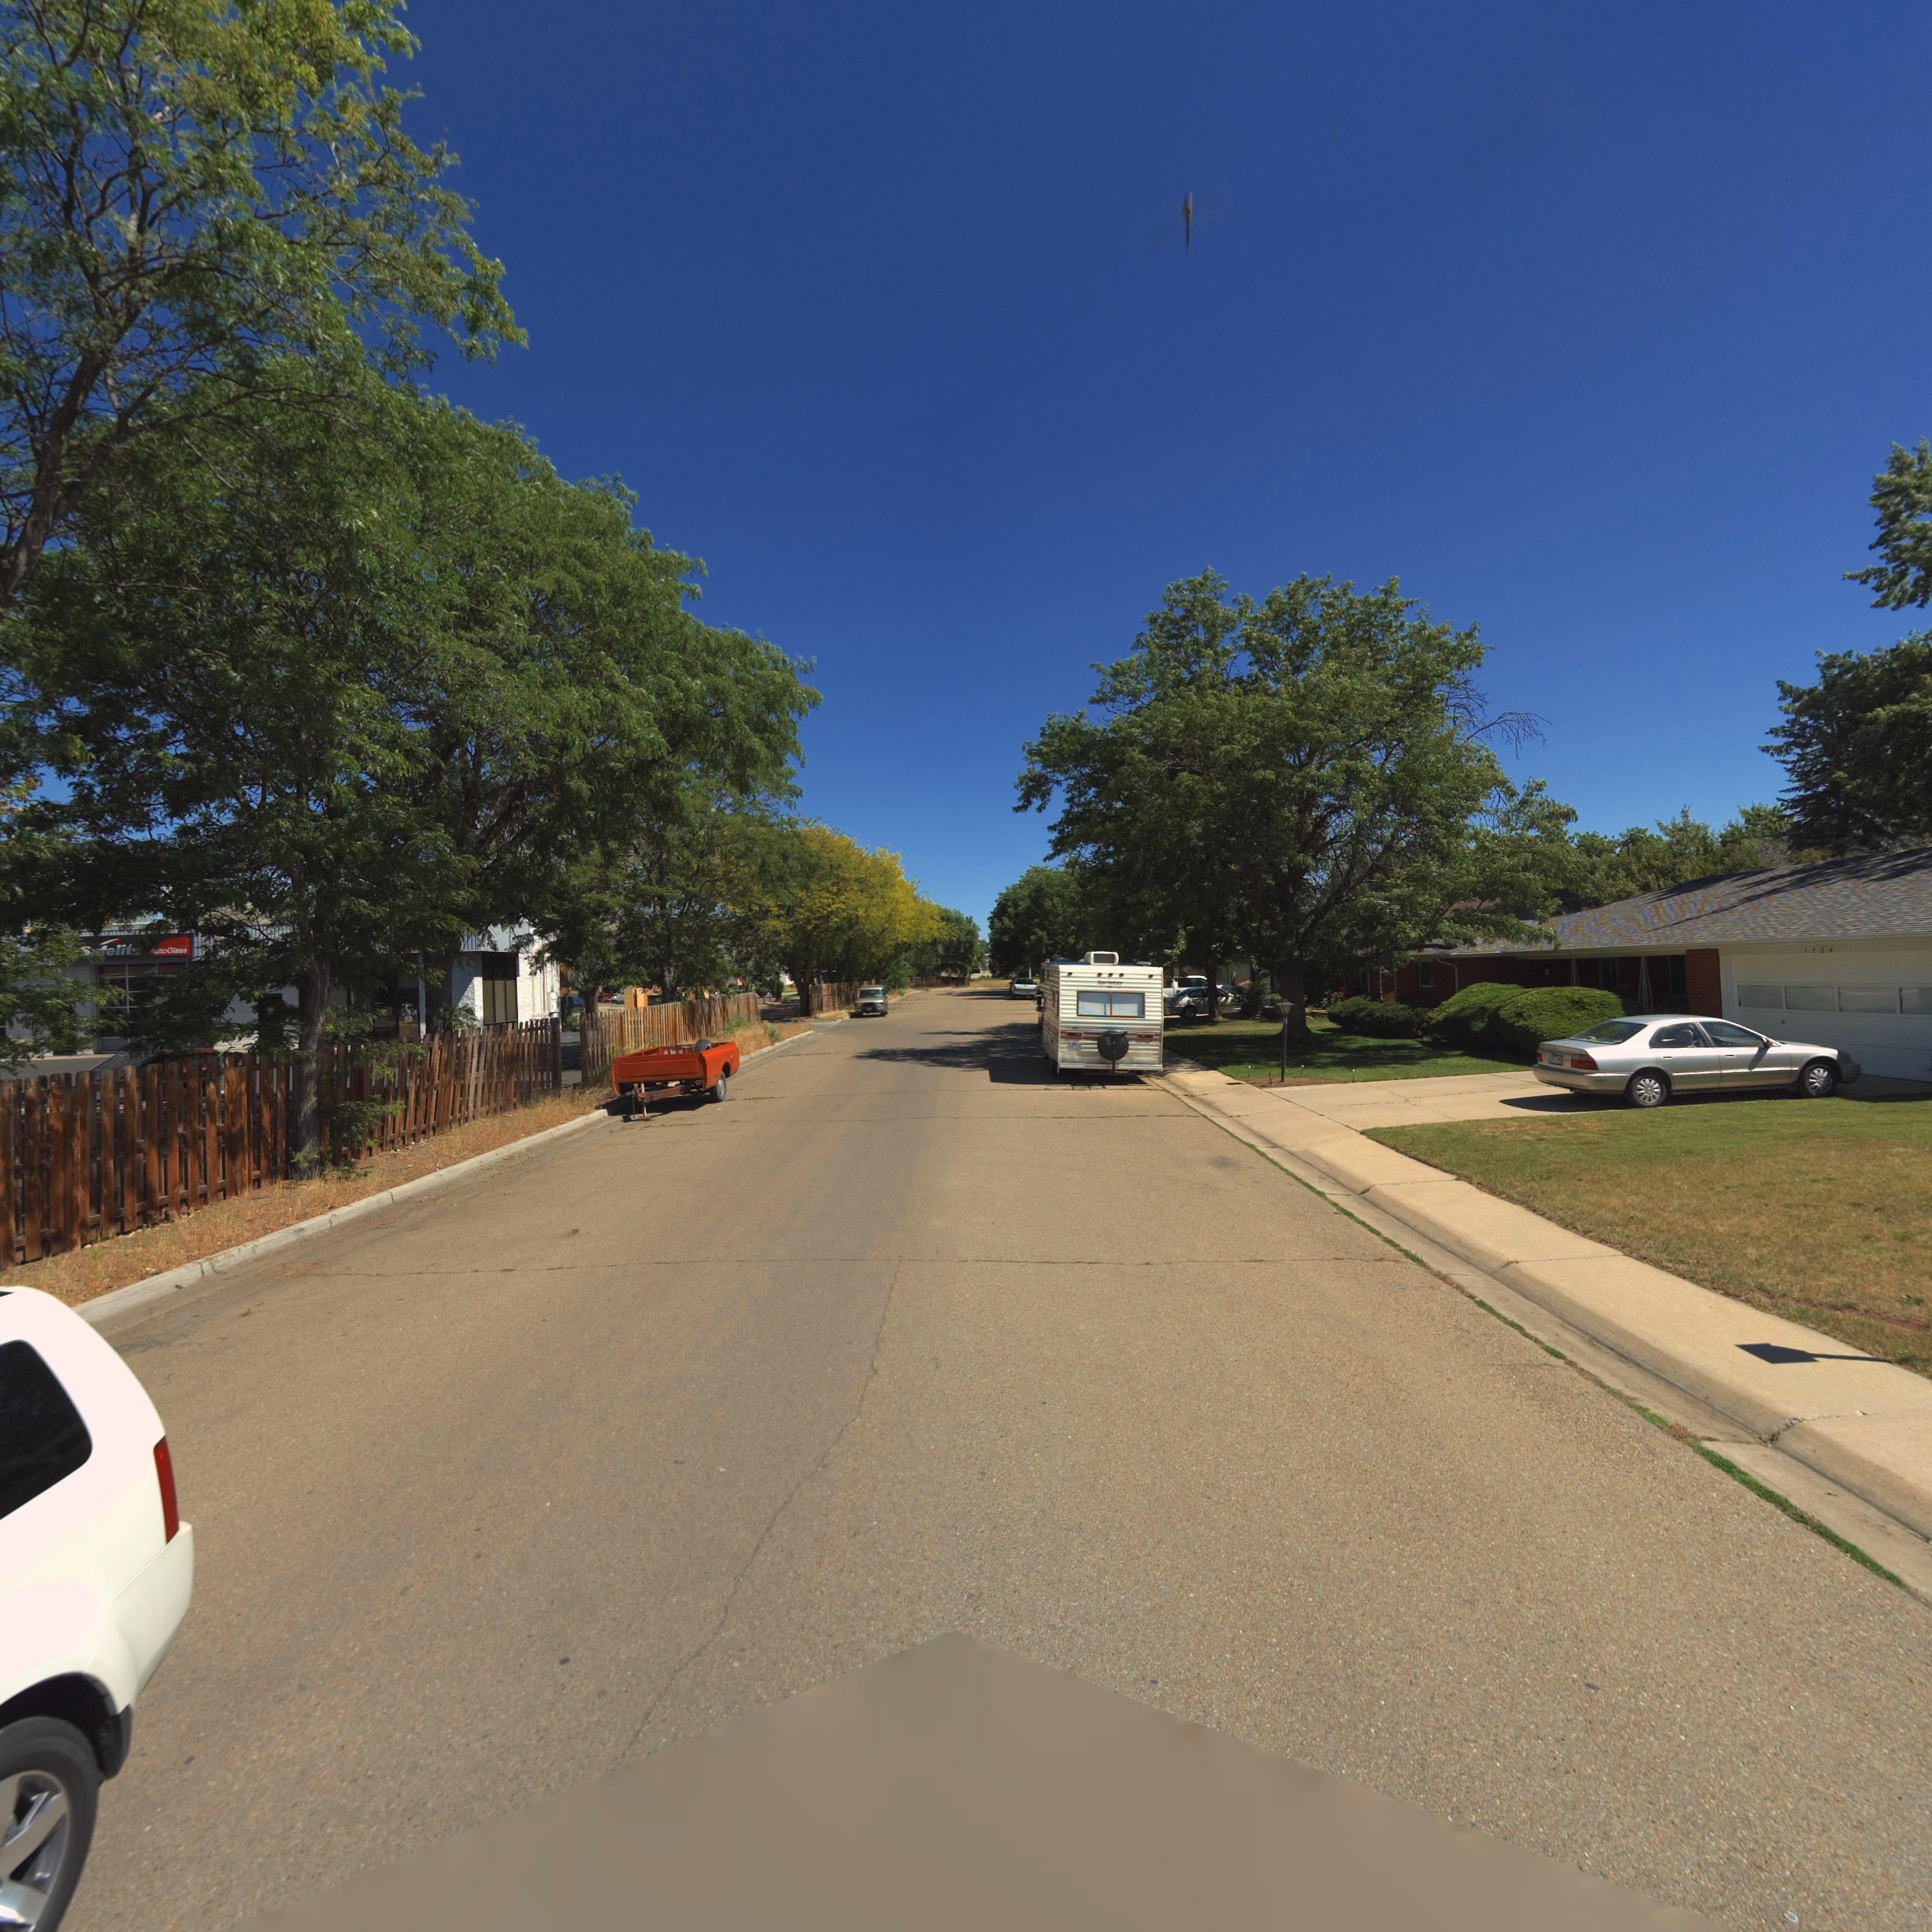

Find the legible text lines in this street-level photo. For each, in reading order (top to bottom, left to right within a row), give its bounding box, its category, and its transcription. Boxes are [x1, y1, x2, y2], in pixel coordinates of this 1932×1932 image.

[1803, 946, 1834, 953] StreetNumber: 1924